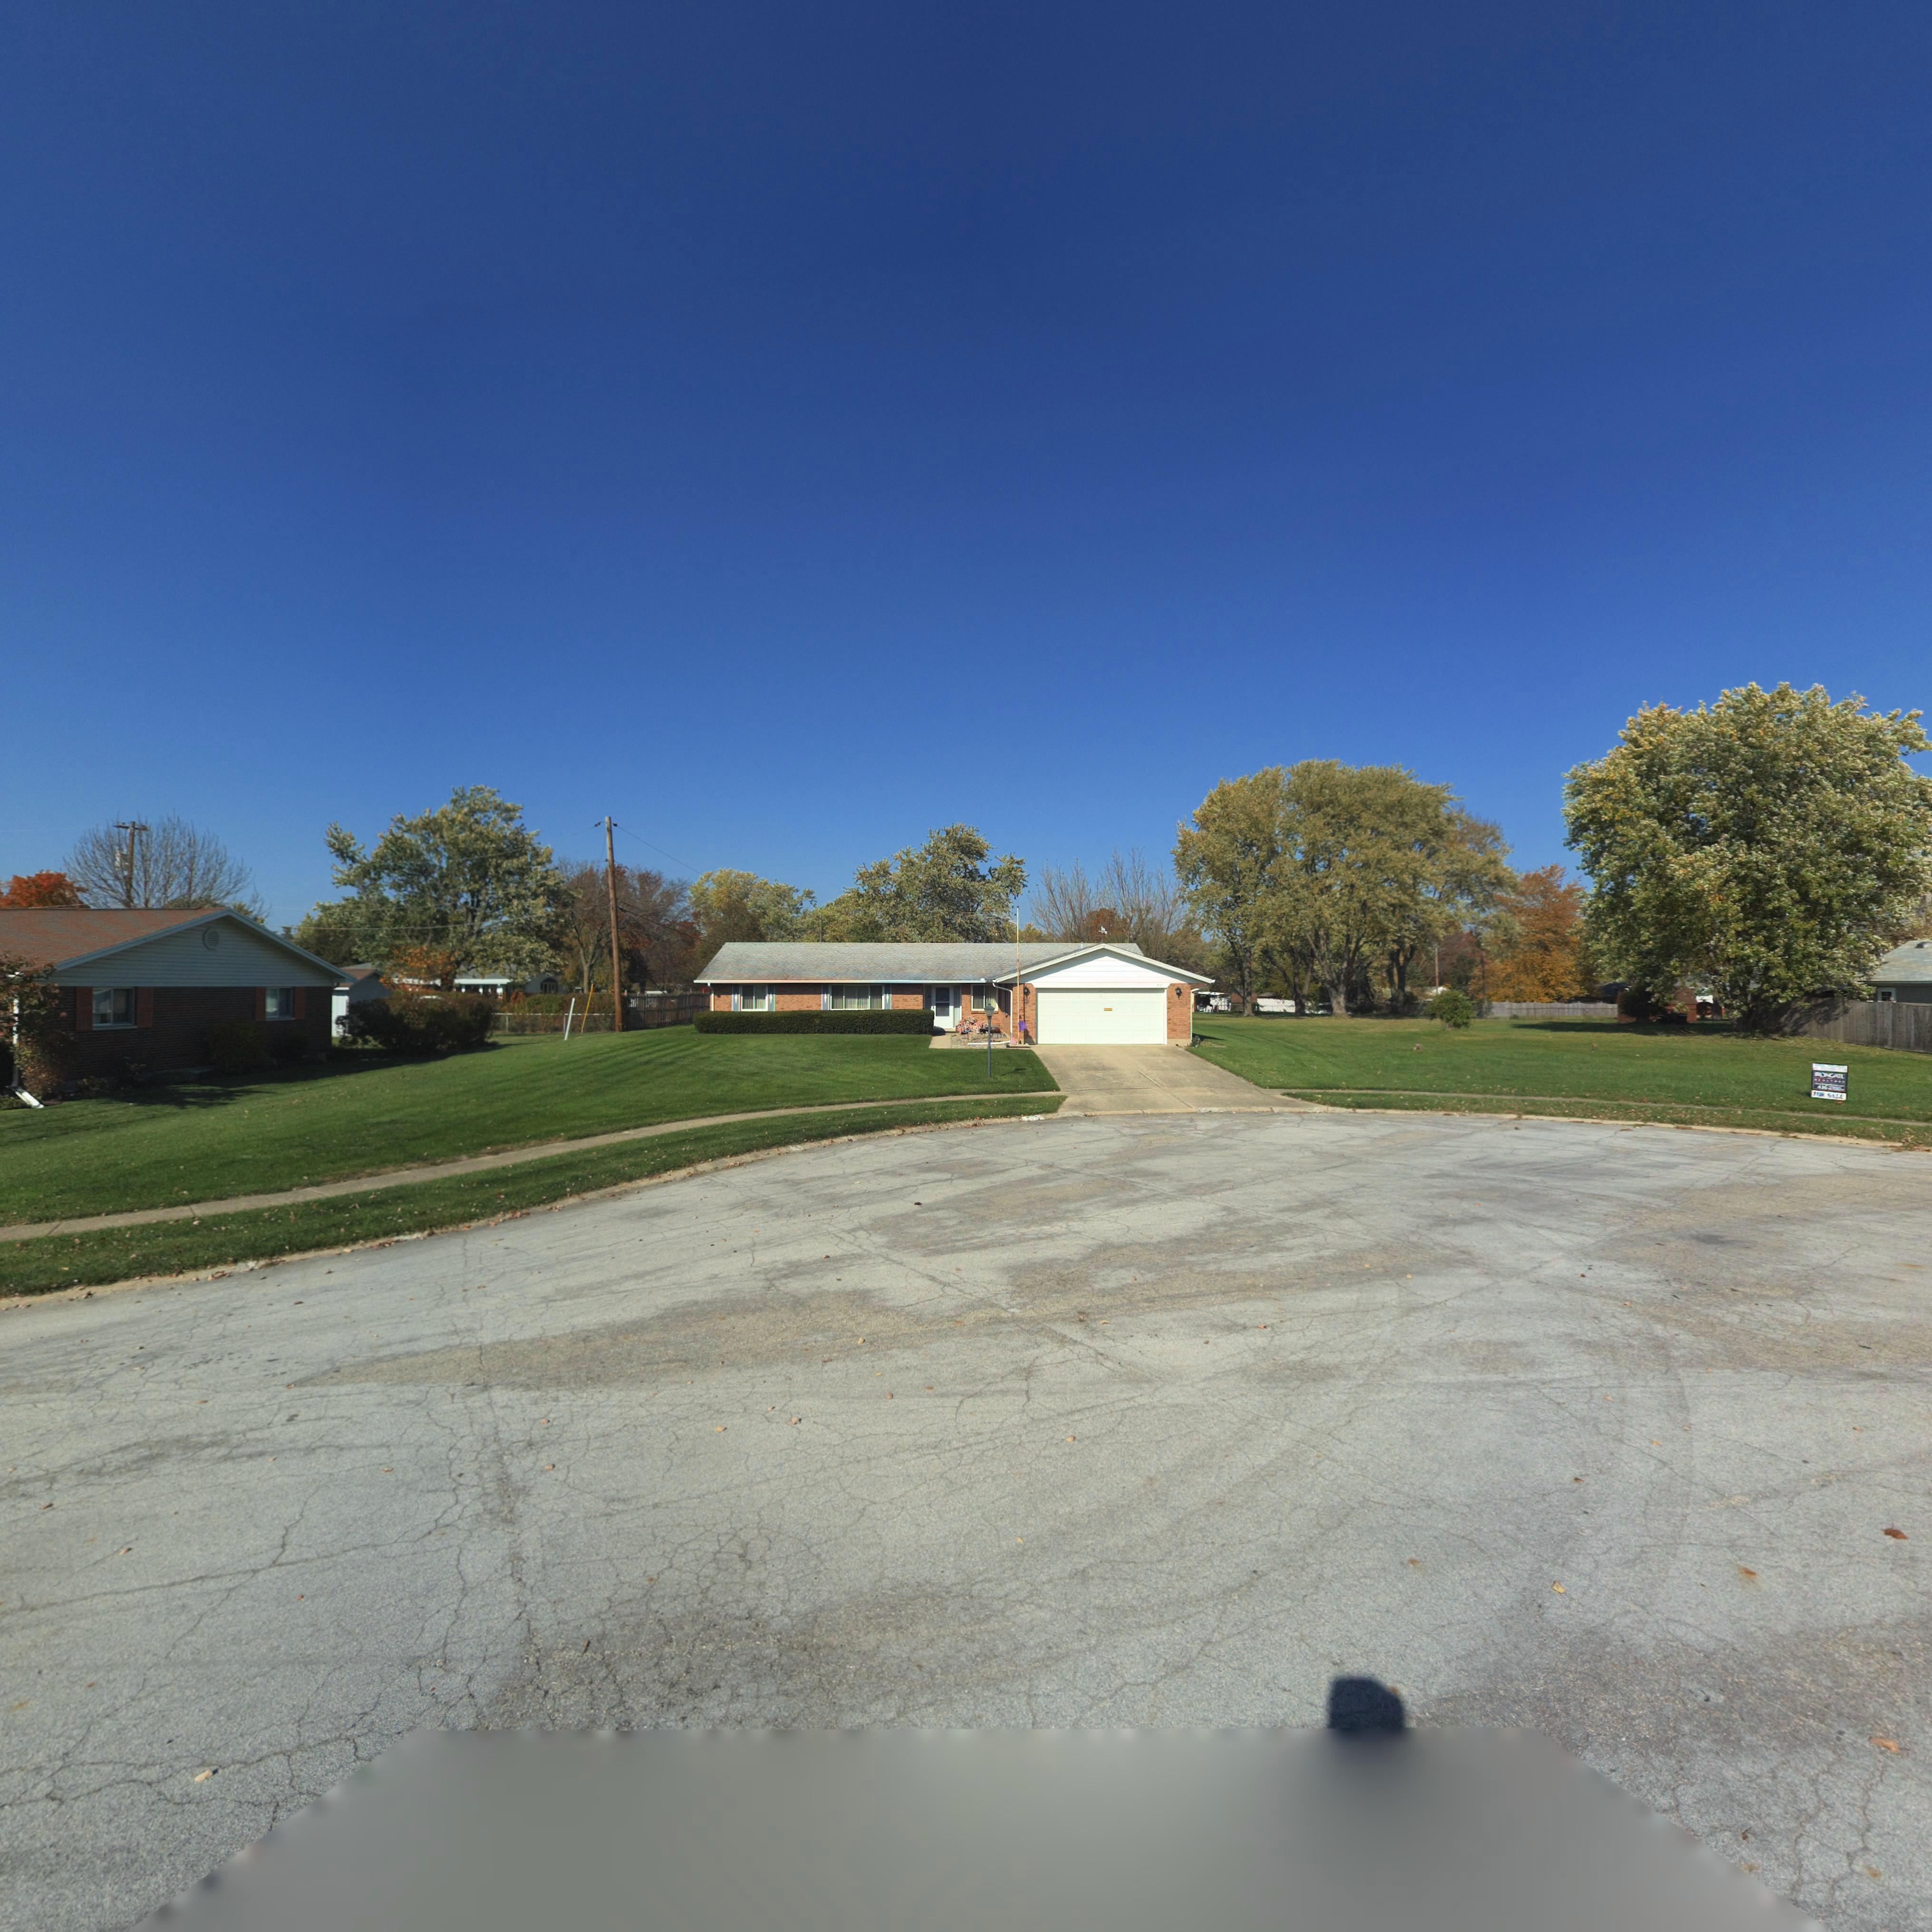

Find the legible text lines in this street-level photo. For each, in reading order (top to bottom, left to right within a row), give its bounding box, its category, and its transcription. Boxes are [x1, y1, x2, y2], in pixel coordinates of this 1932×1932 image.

[994, 1034, 1005, 1038] StreetNumber: 10**